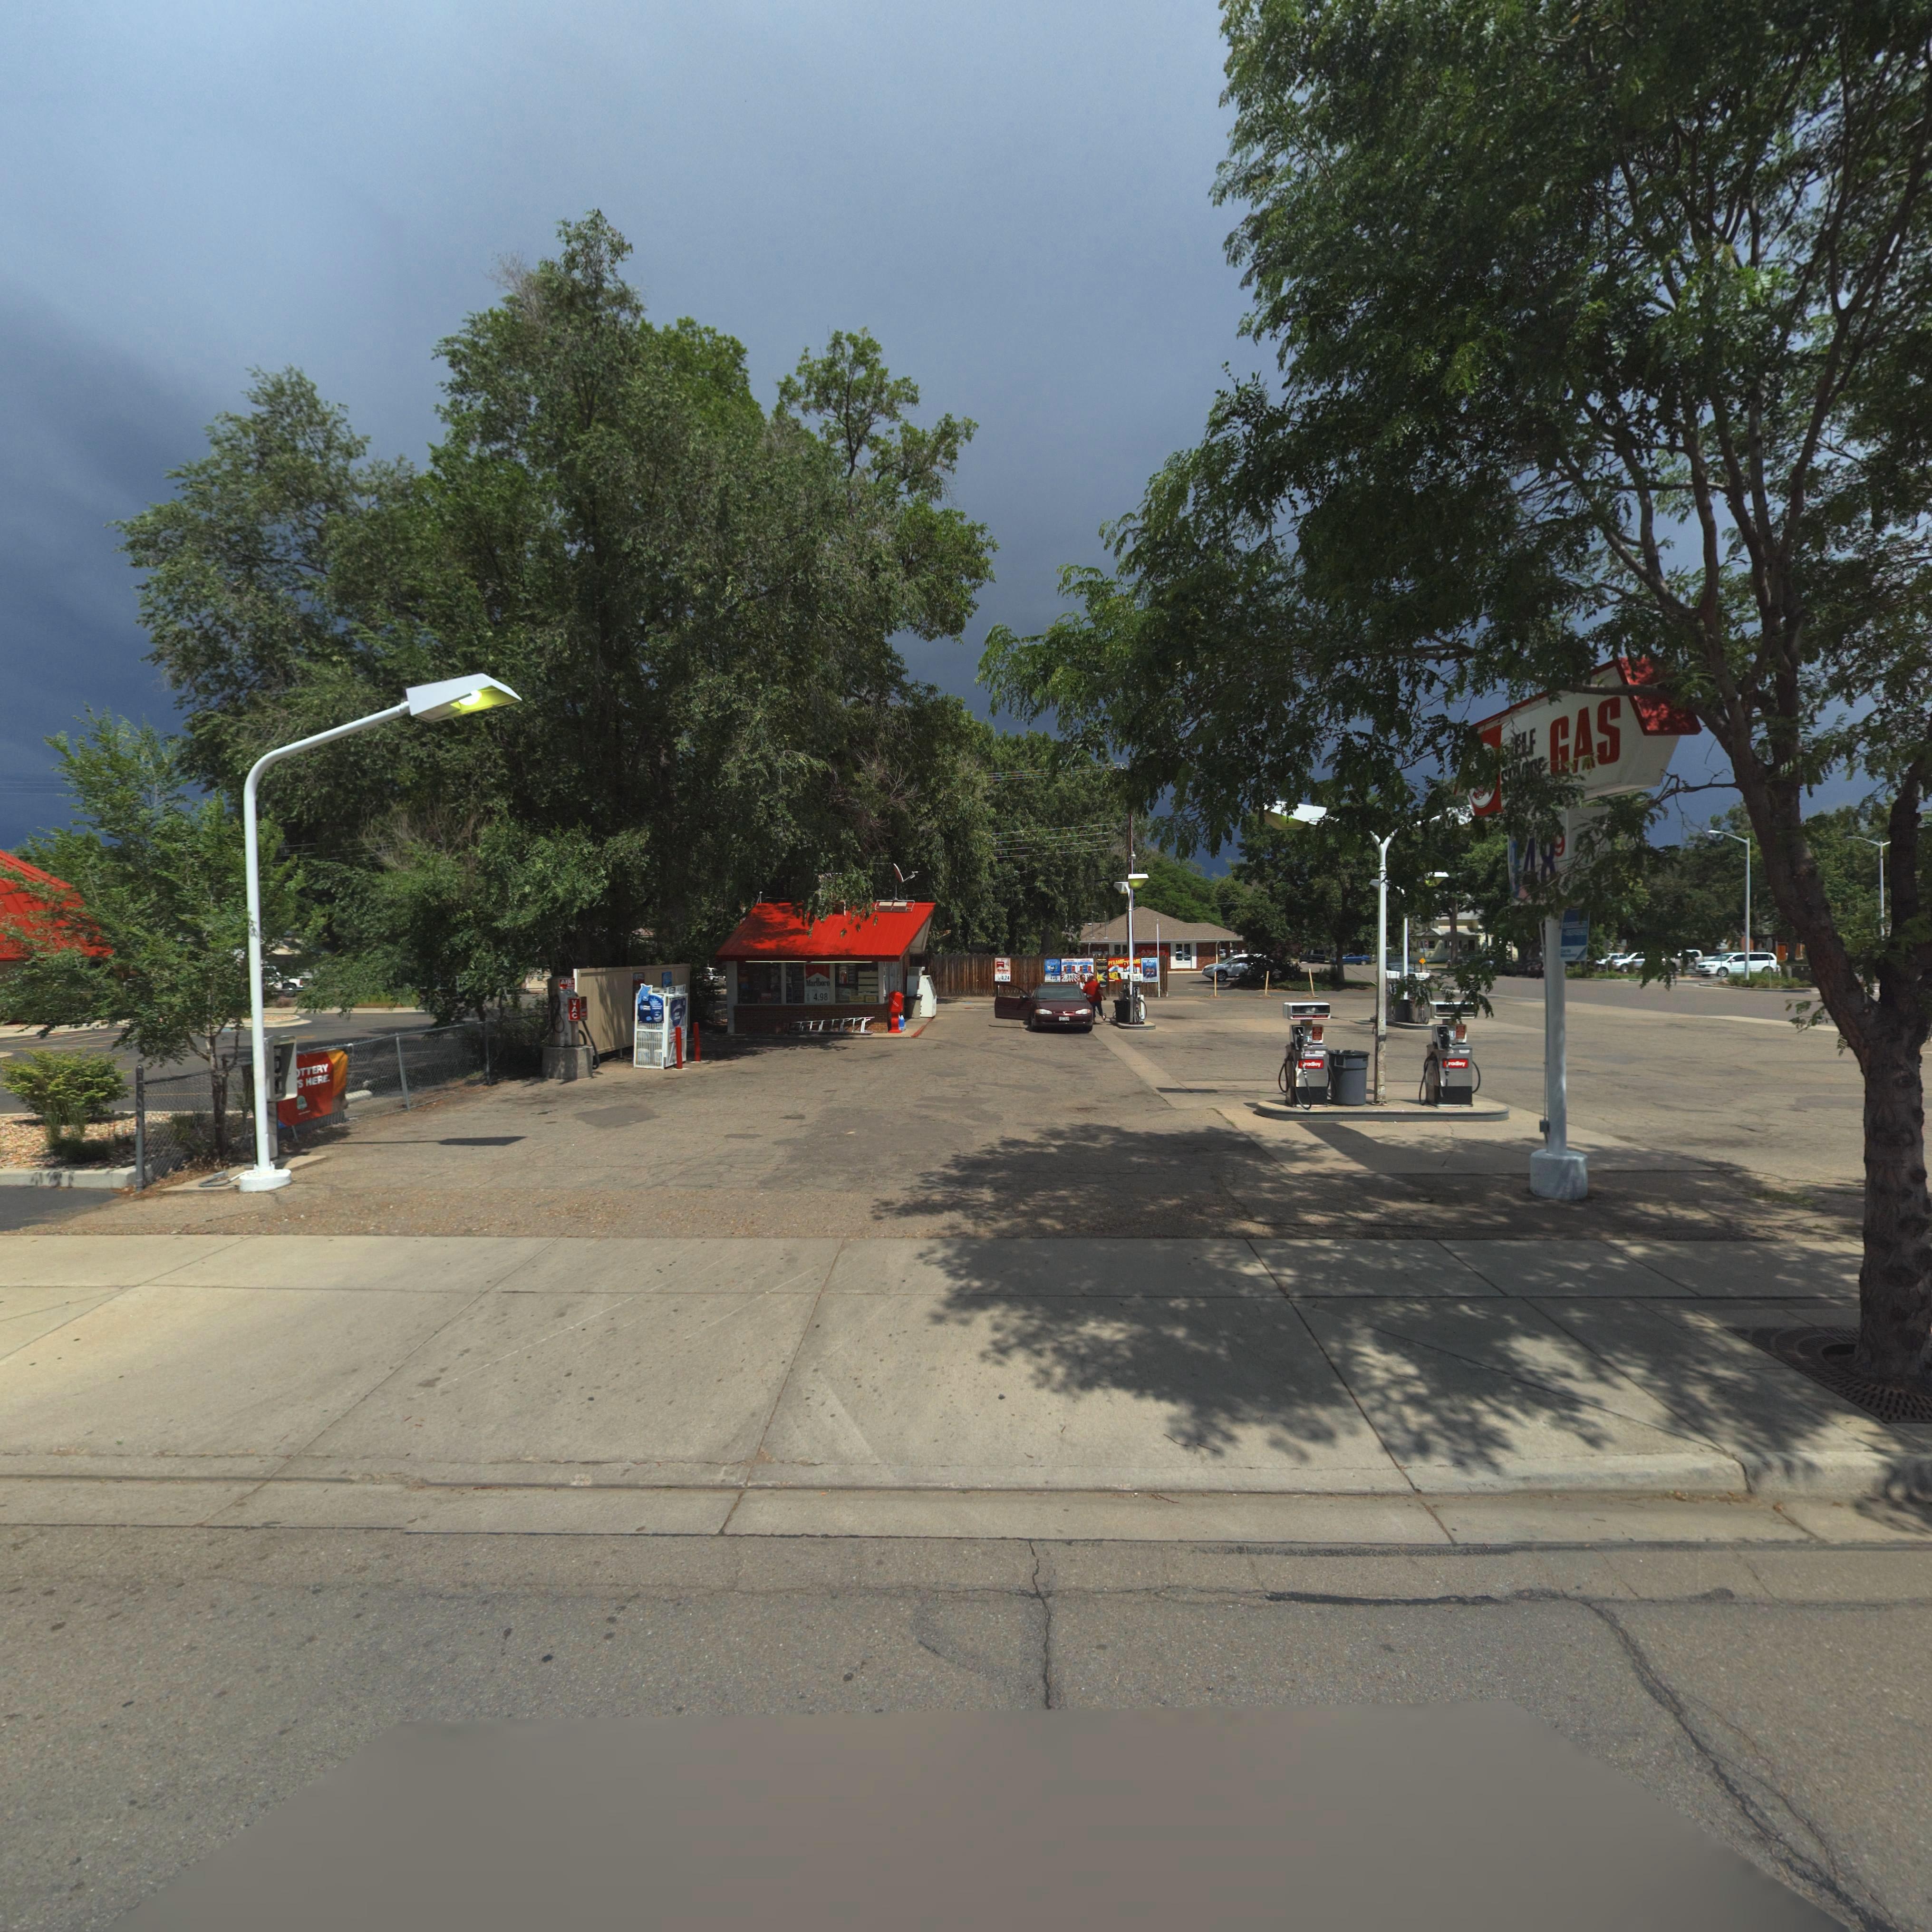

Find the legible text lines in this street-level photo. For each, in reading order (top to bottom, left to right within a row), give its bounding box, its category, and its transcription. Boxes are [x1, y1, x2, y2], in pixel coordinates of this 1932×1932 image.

[1146, 949, 1166, 954] BusinessName: S**** ****